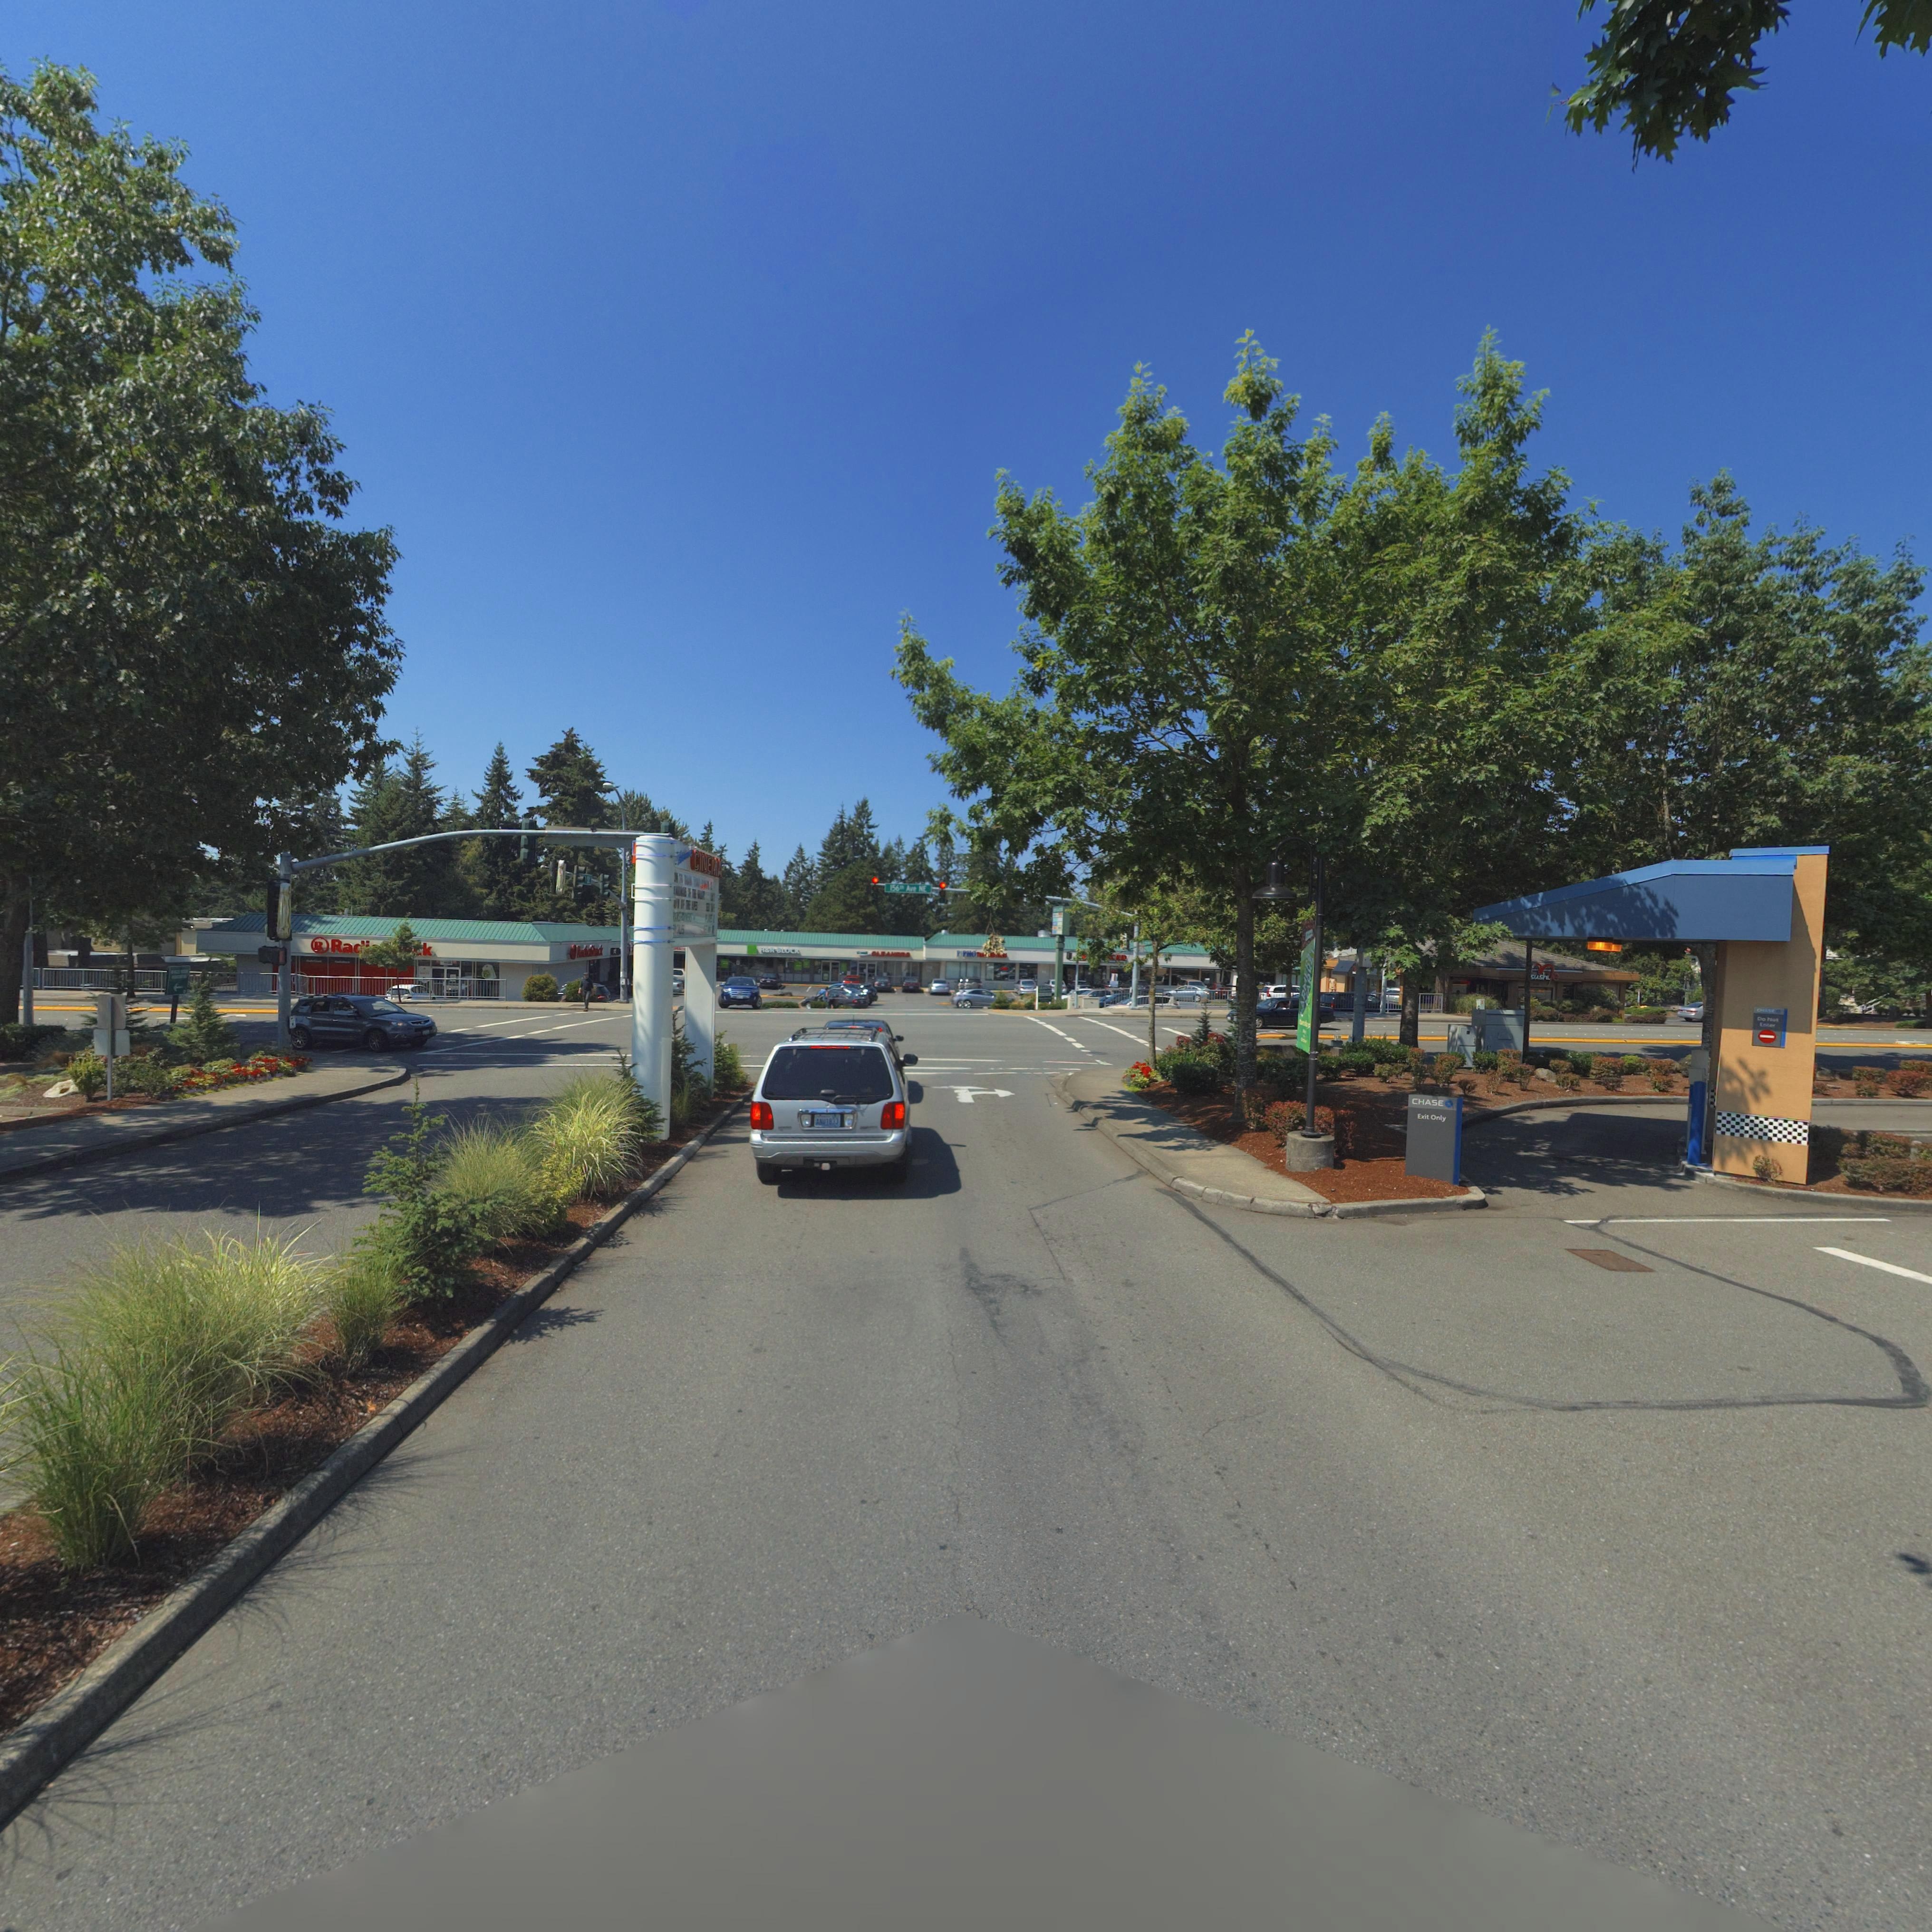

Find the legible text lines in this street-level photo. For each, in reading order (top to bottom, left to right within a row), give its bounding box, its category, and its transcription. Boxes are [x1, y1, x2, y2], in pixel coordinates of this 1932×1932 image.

[690, 849, 723, 877] BusinessName: CINEMA
[889, 885, 926, 892] StreetName: 156th Ave NE
[331, 939, 370, 954] BusinessName: Ra**
[422, 943, 432, 956] BusinessName: k
[576, 945, 603, 958] BusinessName: R********
[759, 947, 799, 953] BusinessName: H&R BLOCK
[871, 951, 910, 957] BusinessName: CLEA***
[963, 949, 977, 956] BusinessName: PHO
[1530, 972, 1550, 980] BusinessName: sush*
[1412, 1098, 1443, 1106] BusinessName: CHASE